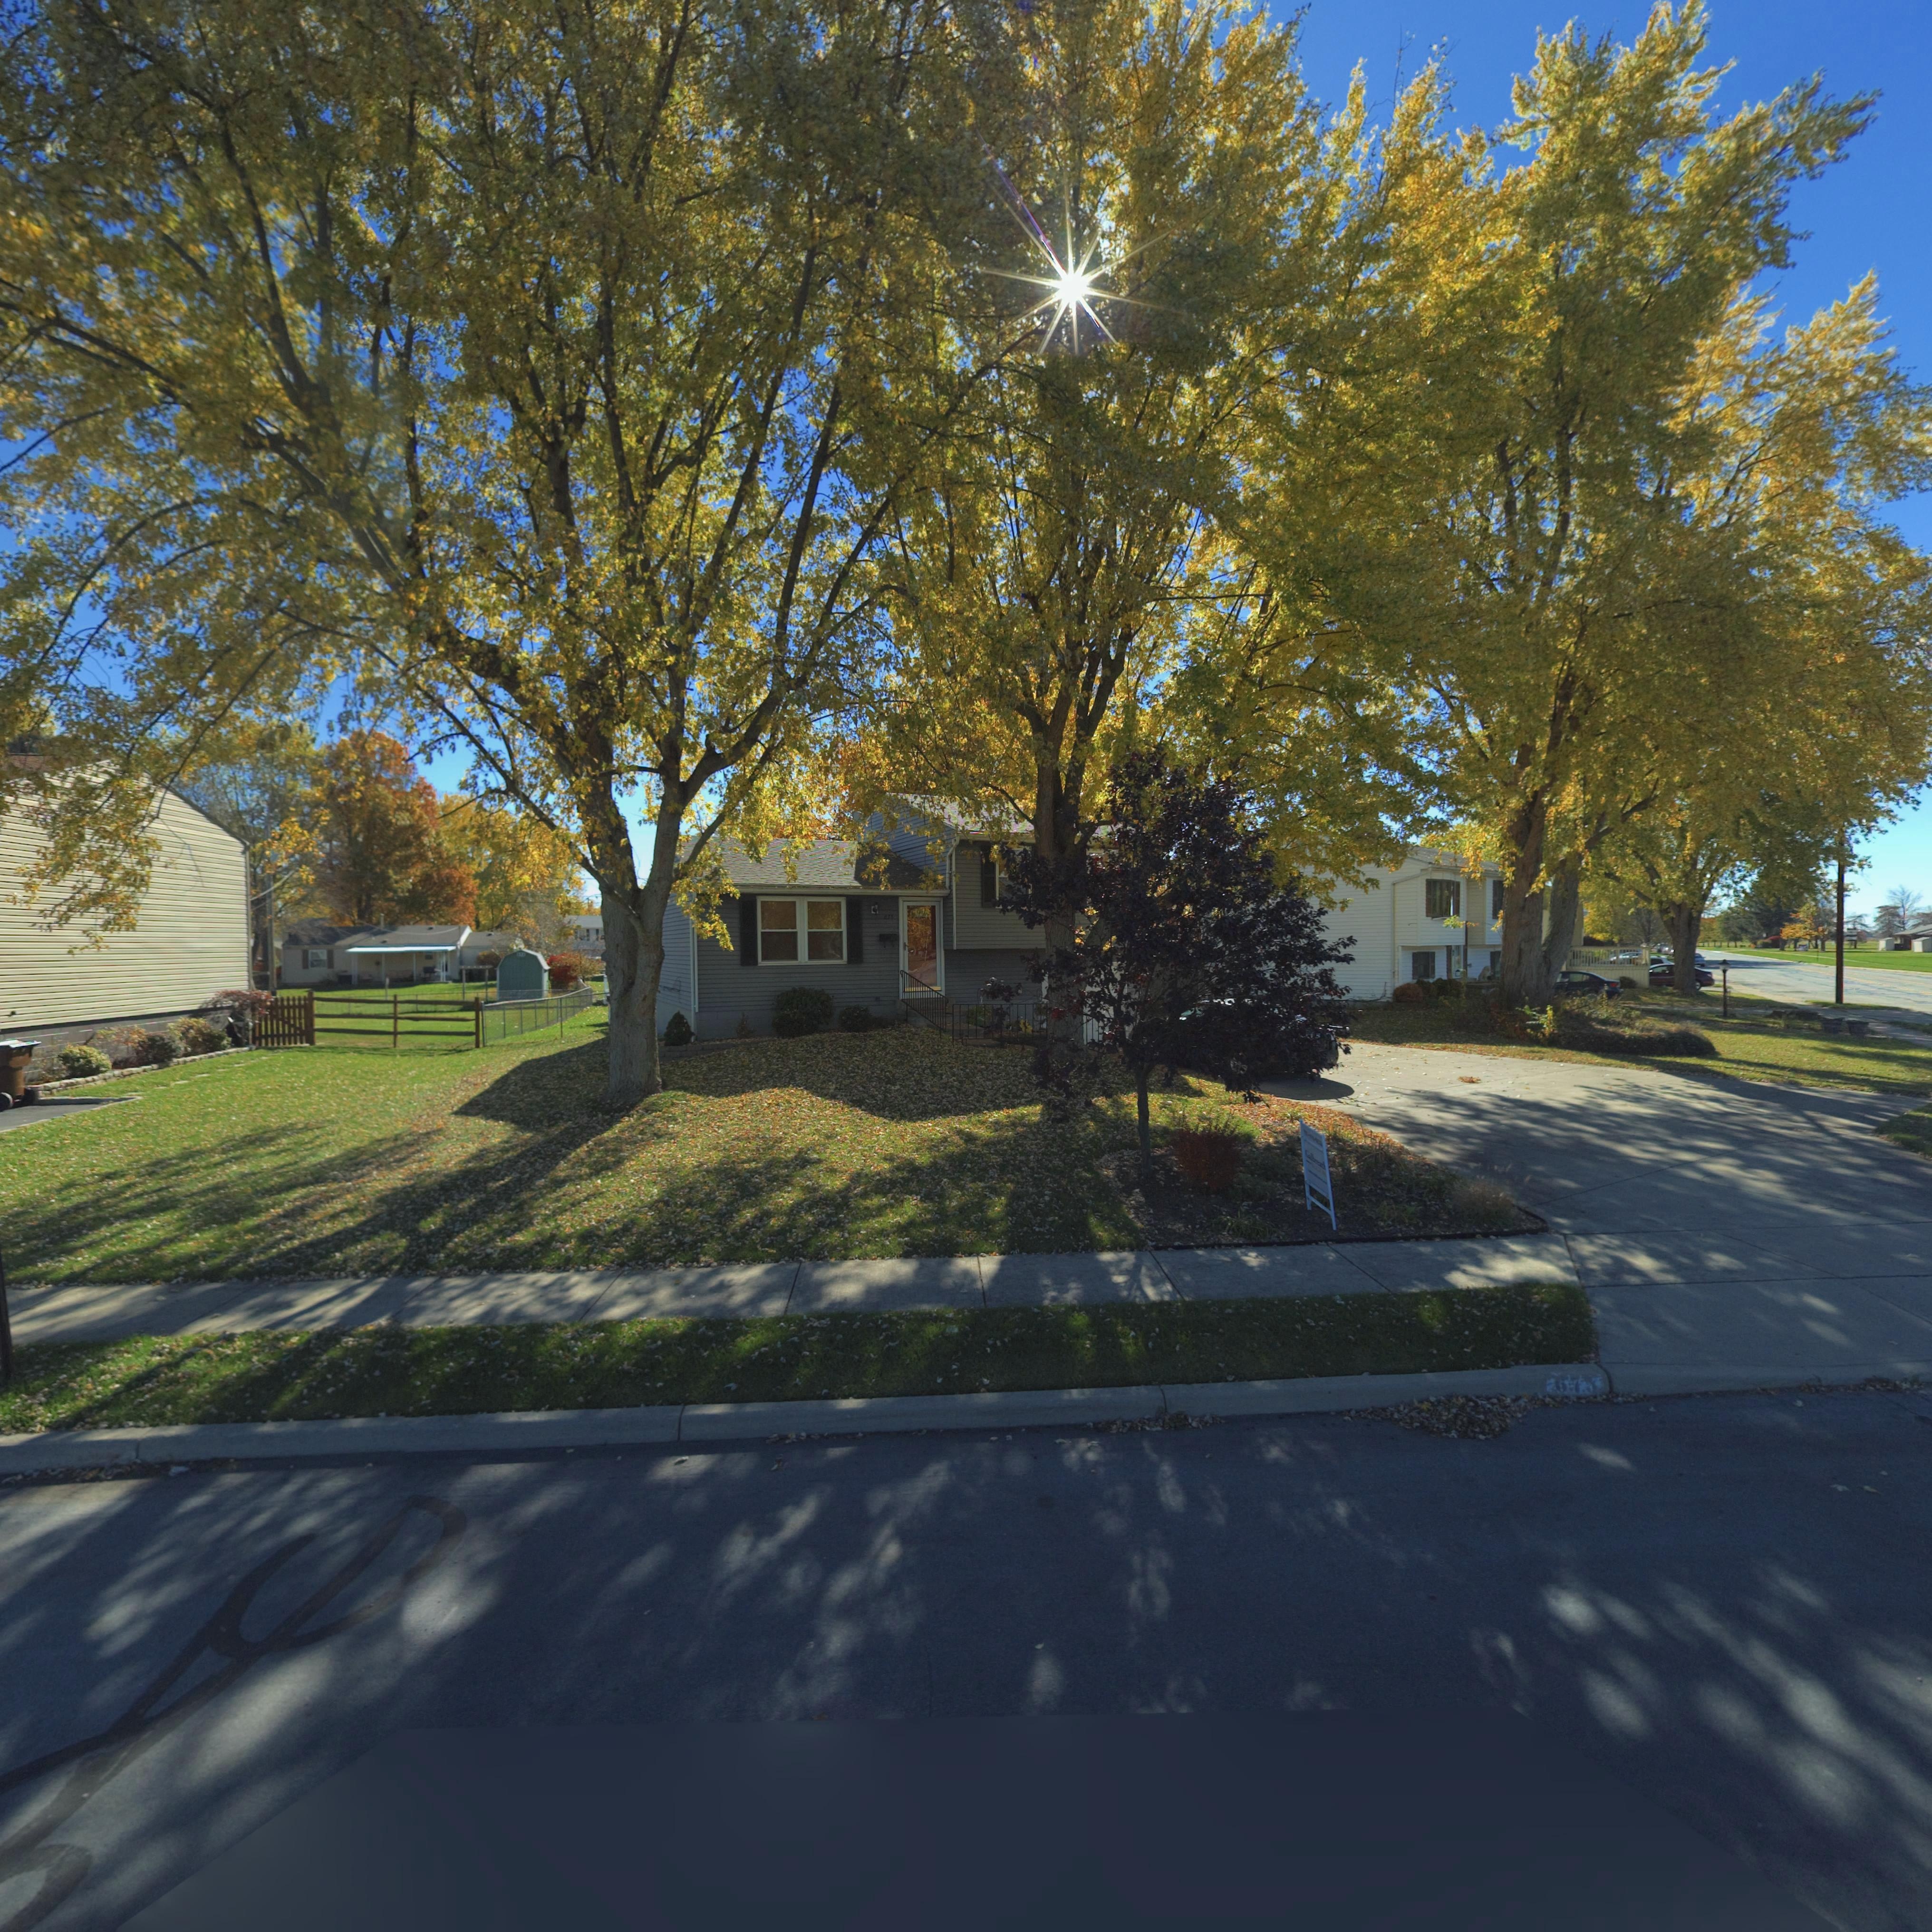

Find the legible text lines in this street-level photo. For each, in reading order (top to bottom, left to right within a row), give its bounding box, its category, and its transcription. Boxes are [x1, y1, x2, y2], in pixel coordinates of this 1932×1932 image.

[883, 914, 894, 919] StreetNumber: 675
[1553, 1374, 1598, 1395] StreetNumber: 675